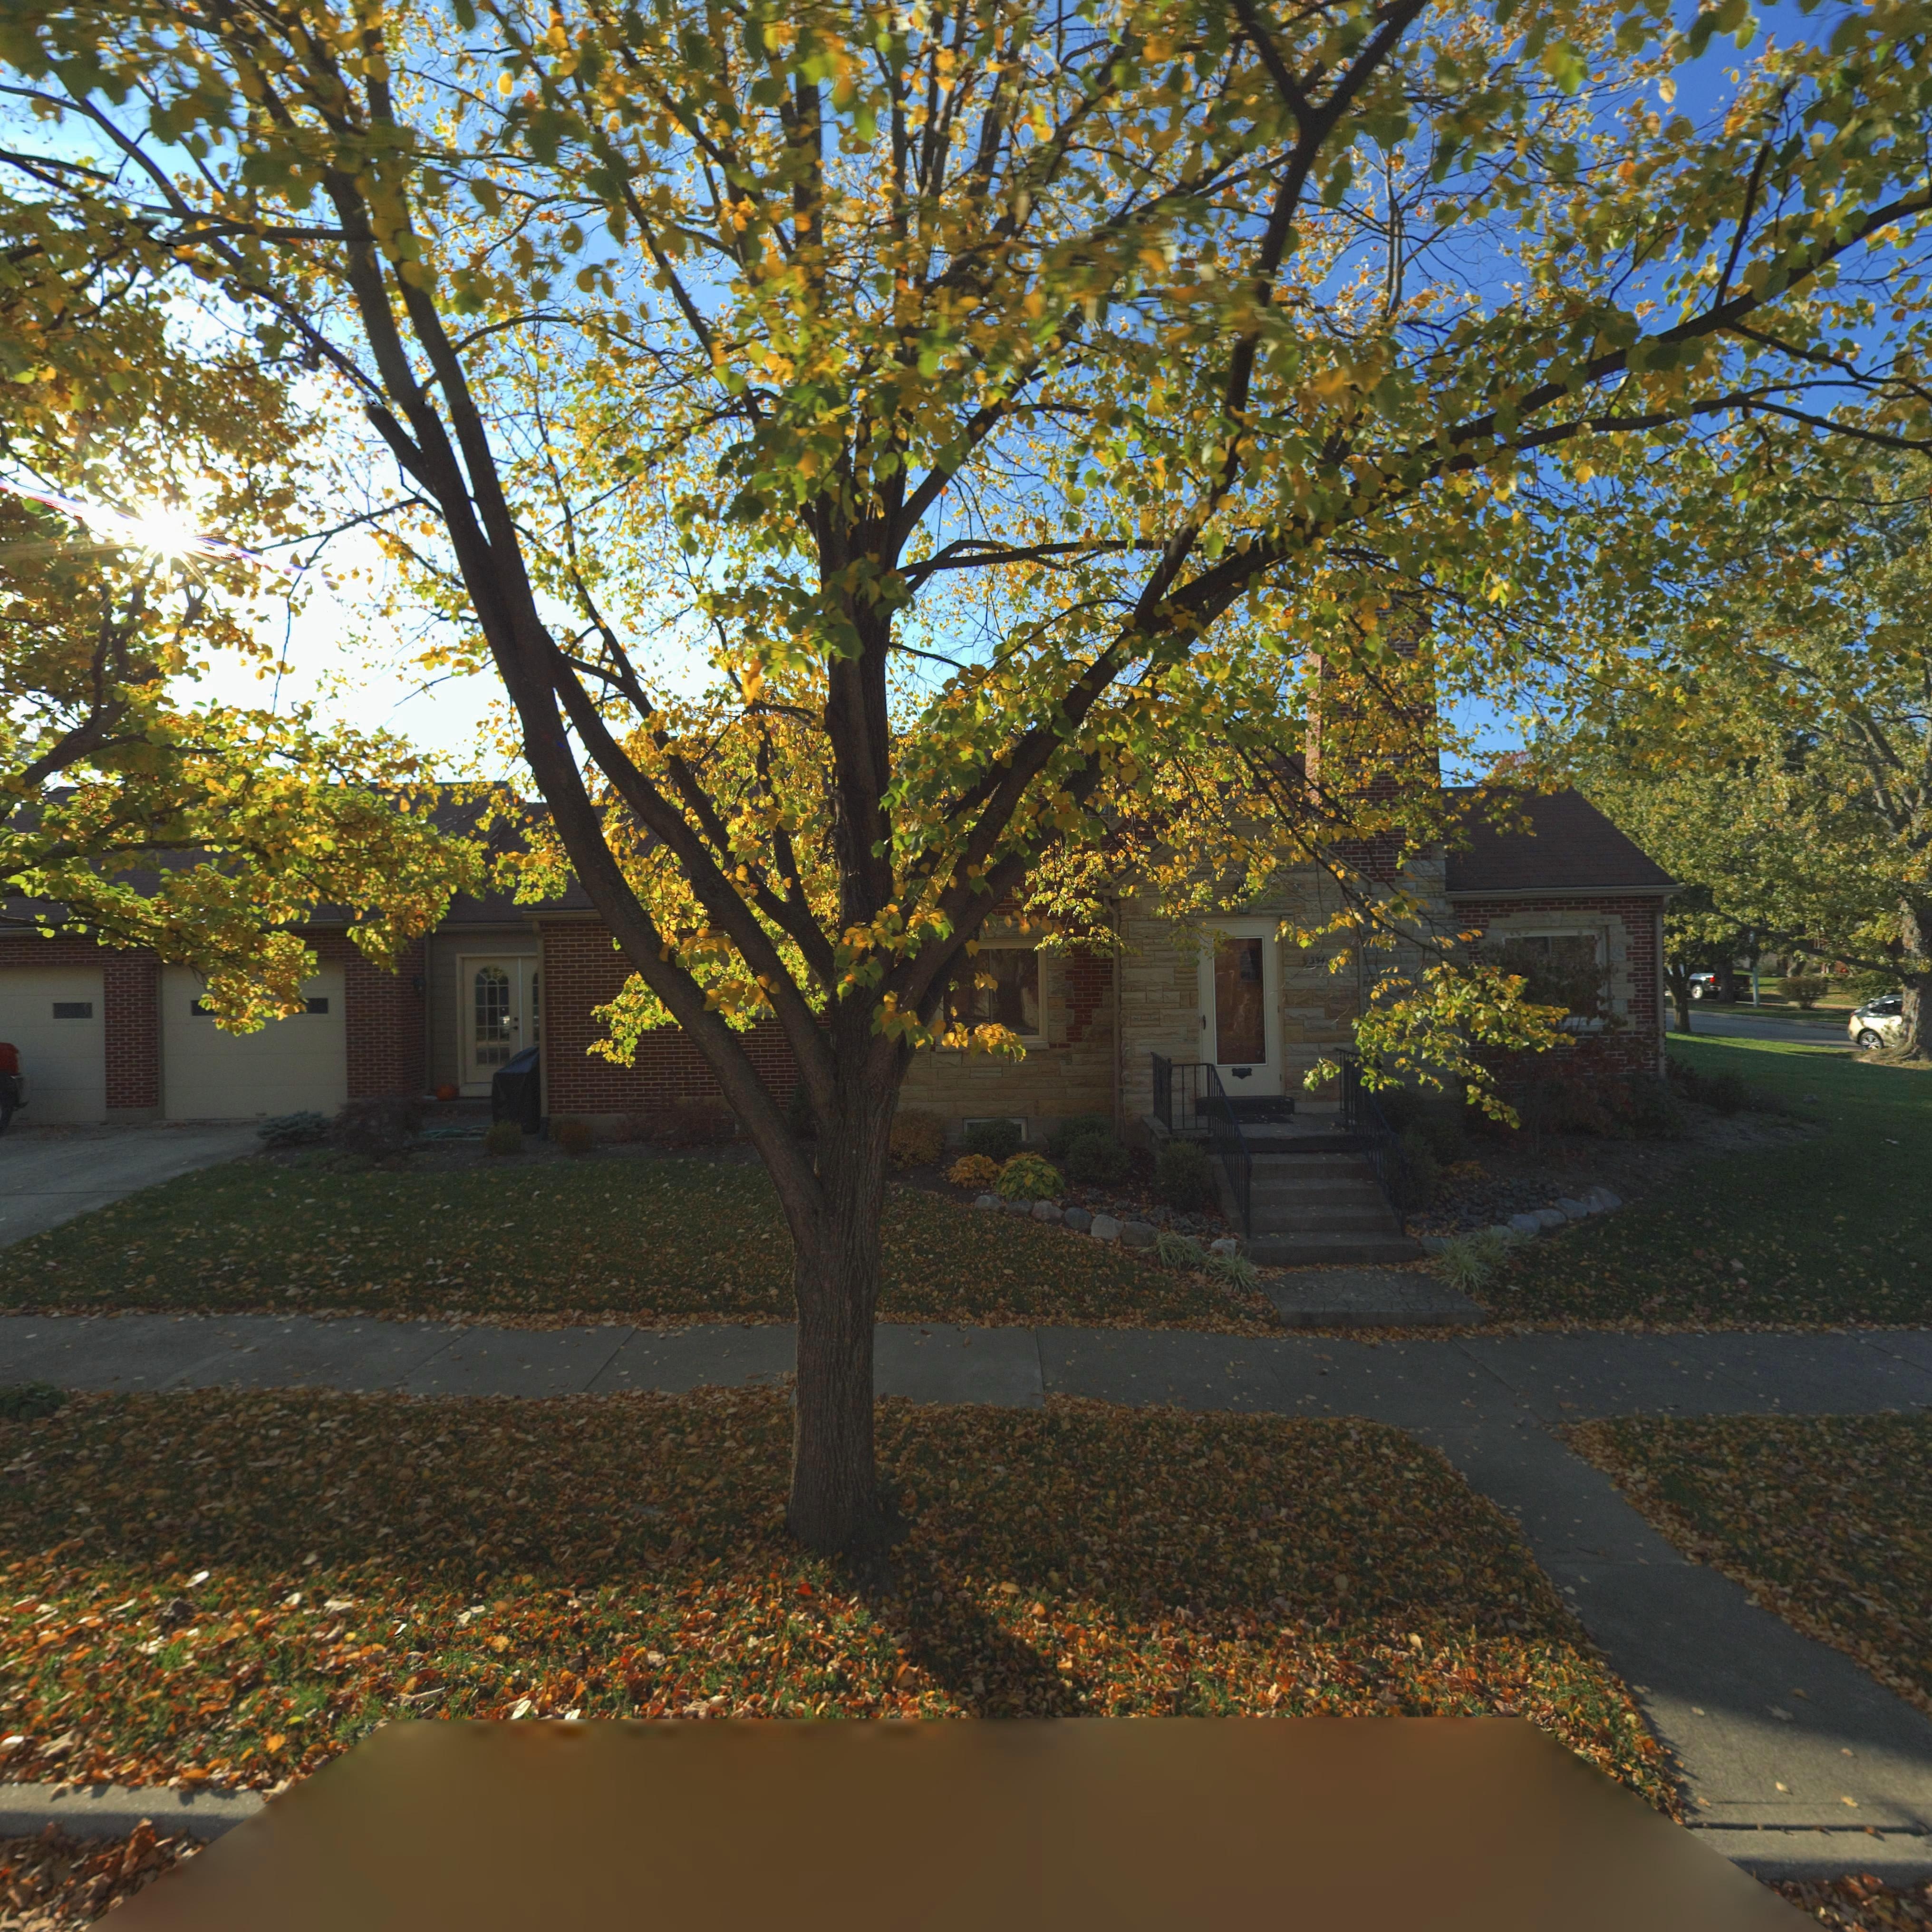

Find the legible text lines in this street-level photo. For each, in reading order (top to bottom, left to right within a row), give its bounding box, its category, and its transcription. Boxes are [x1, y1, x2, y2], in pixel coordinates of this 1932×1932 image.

[1309, 956, 1325, 965] StreetNumber: *54